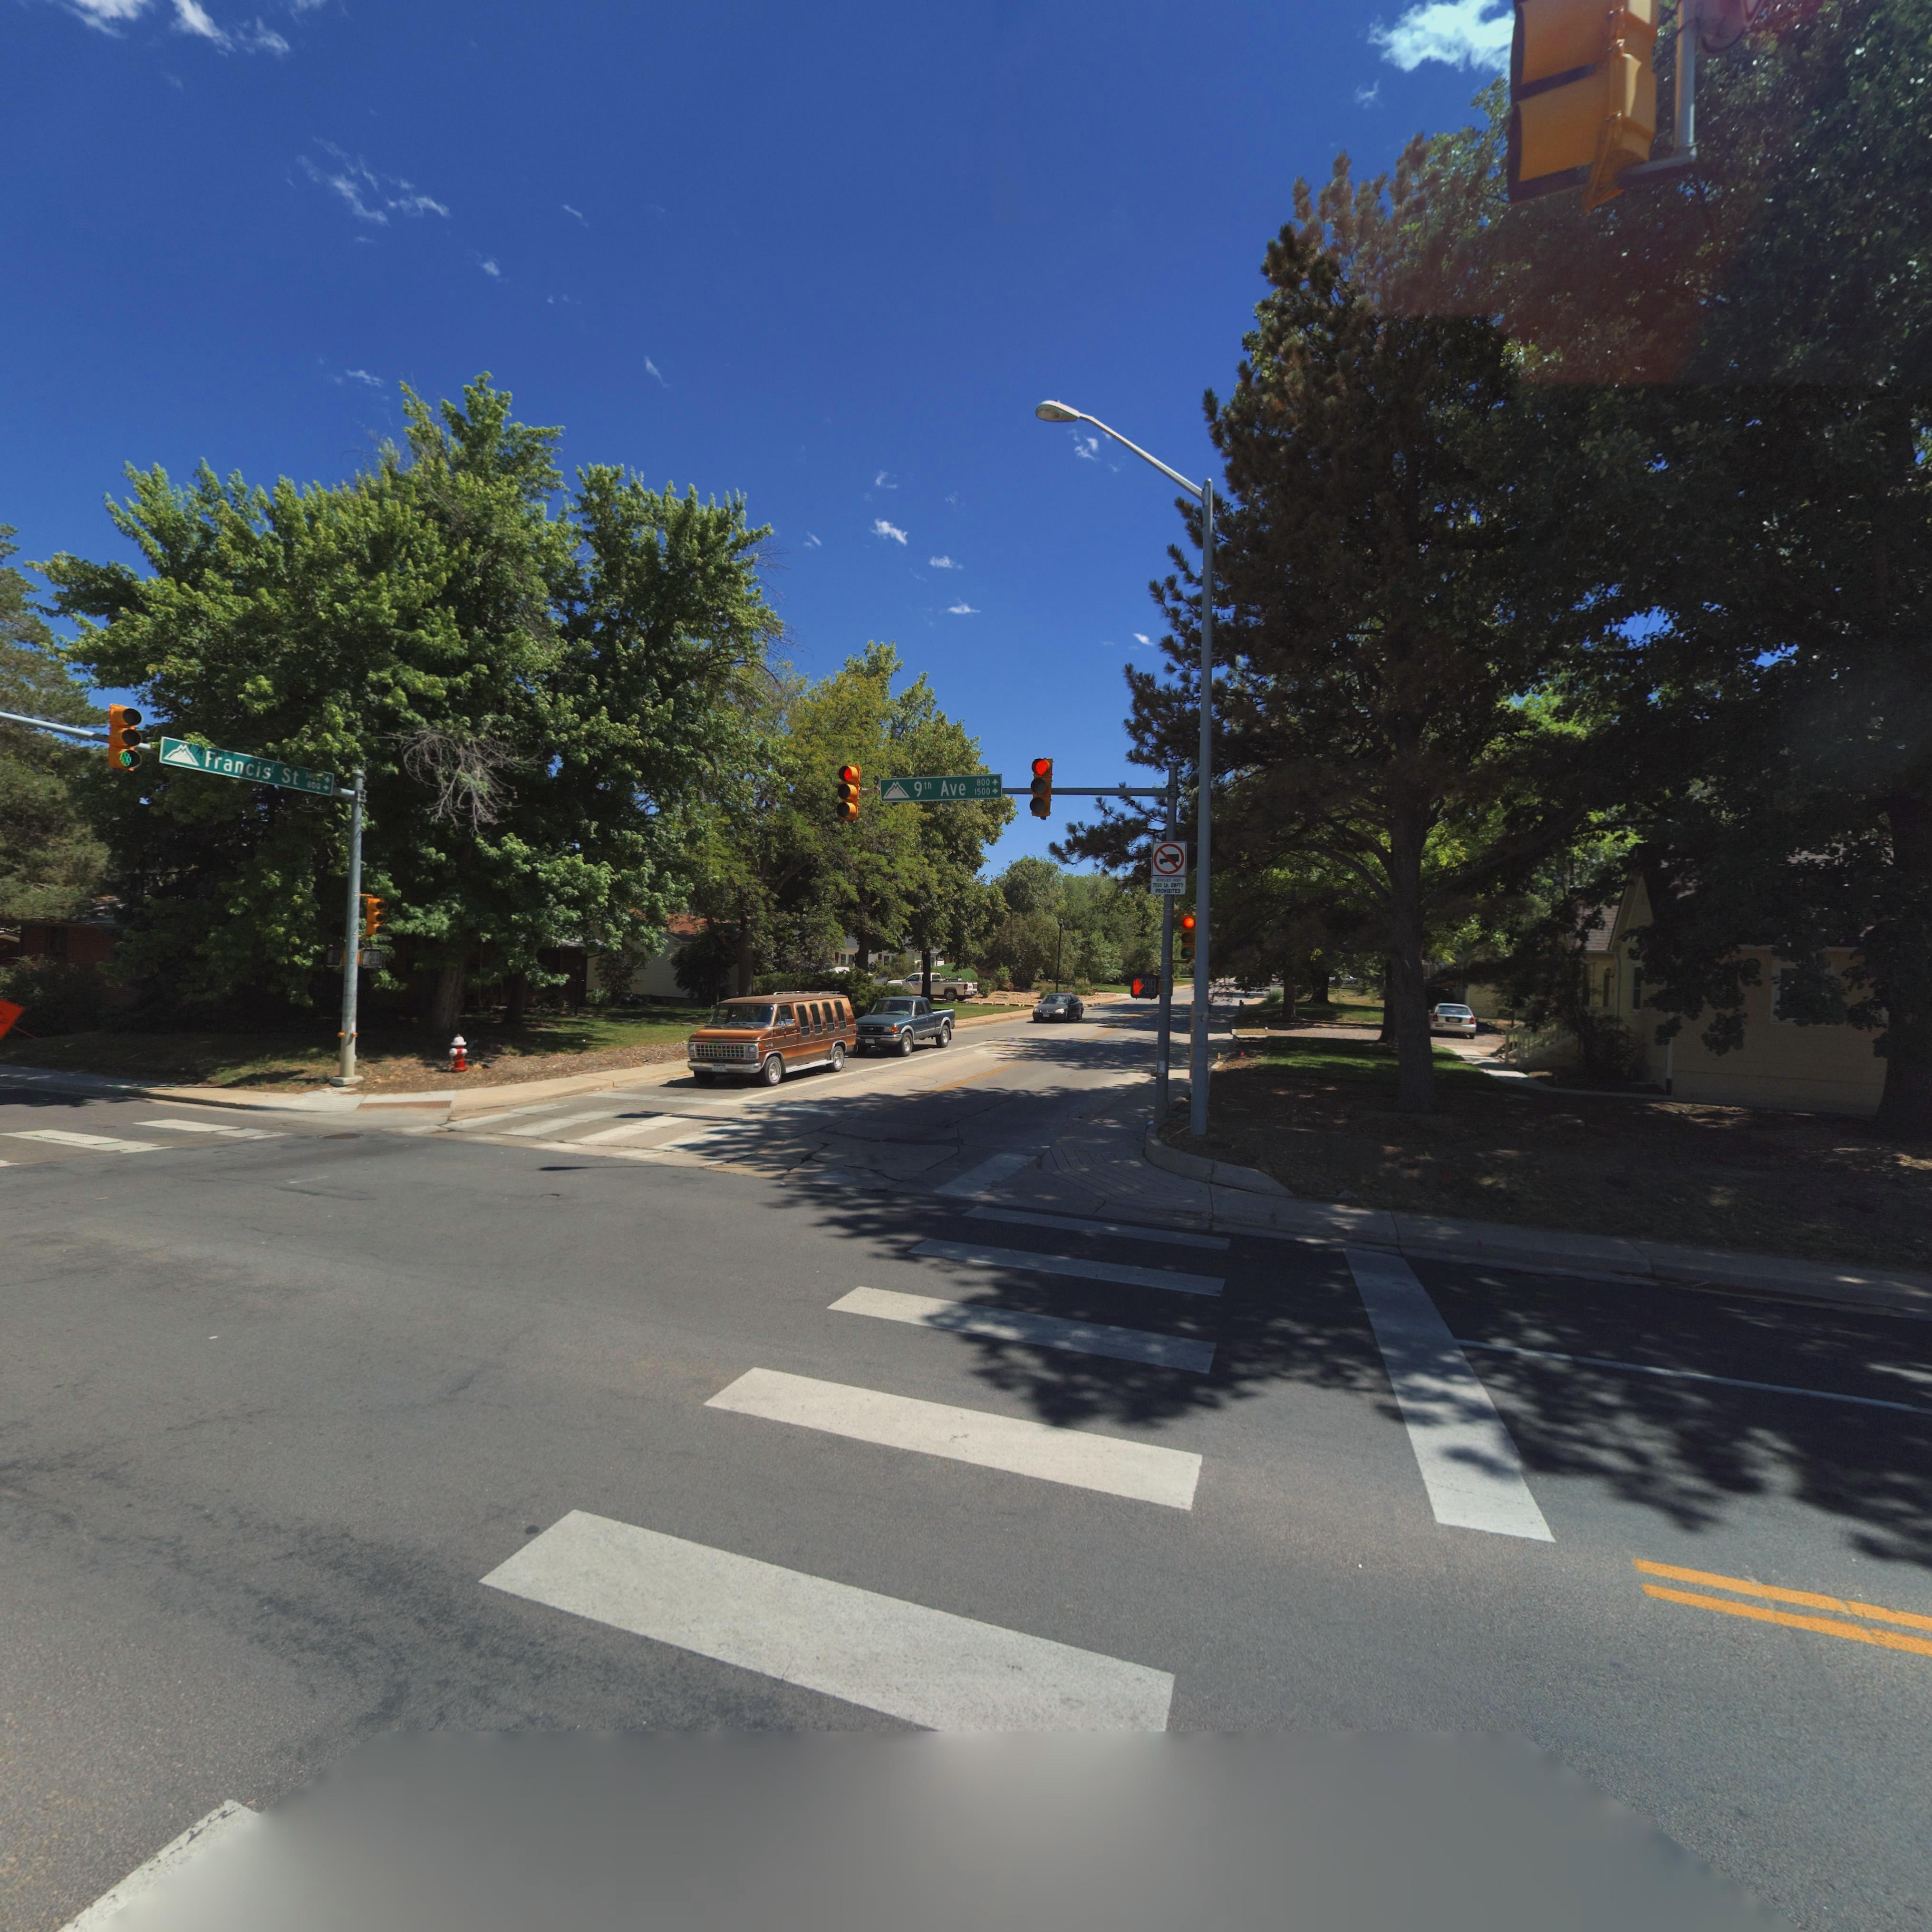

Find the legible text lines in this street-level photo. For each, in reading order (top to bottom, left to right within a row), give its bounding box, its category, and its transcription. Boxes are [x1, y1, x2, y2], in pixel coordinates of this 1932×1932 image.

[204, 750, 299, 785] StreetName: Francis St
[306, 772, 321, 781] StreetNumberRange: 14**
[307, 781, 330, 790] StreetNumberRange: 800->
[914, 780, 966, 797] StreetName: 9th Ave
[976, 778, 990, 786] StreetNumberRange: 800
[974, 787, 998, 795] StreetNumberRange: 1500->